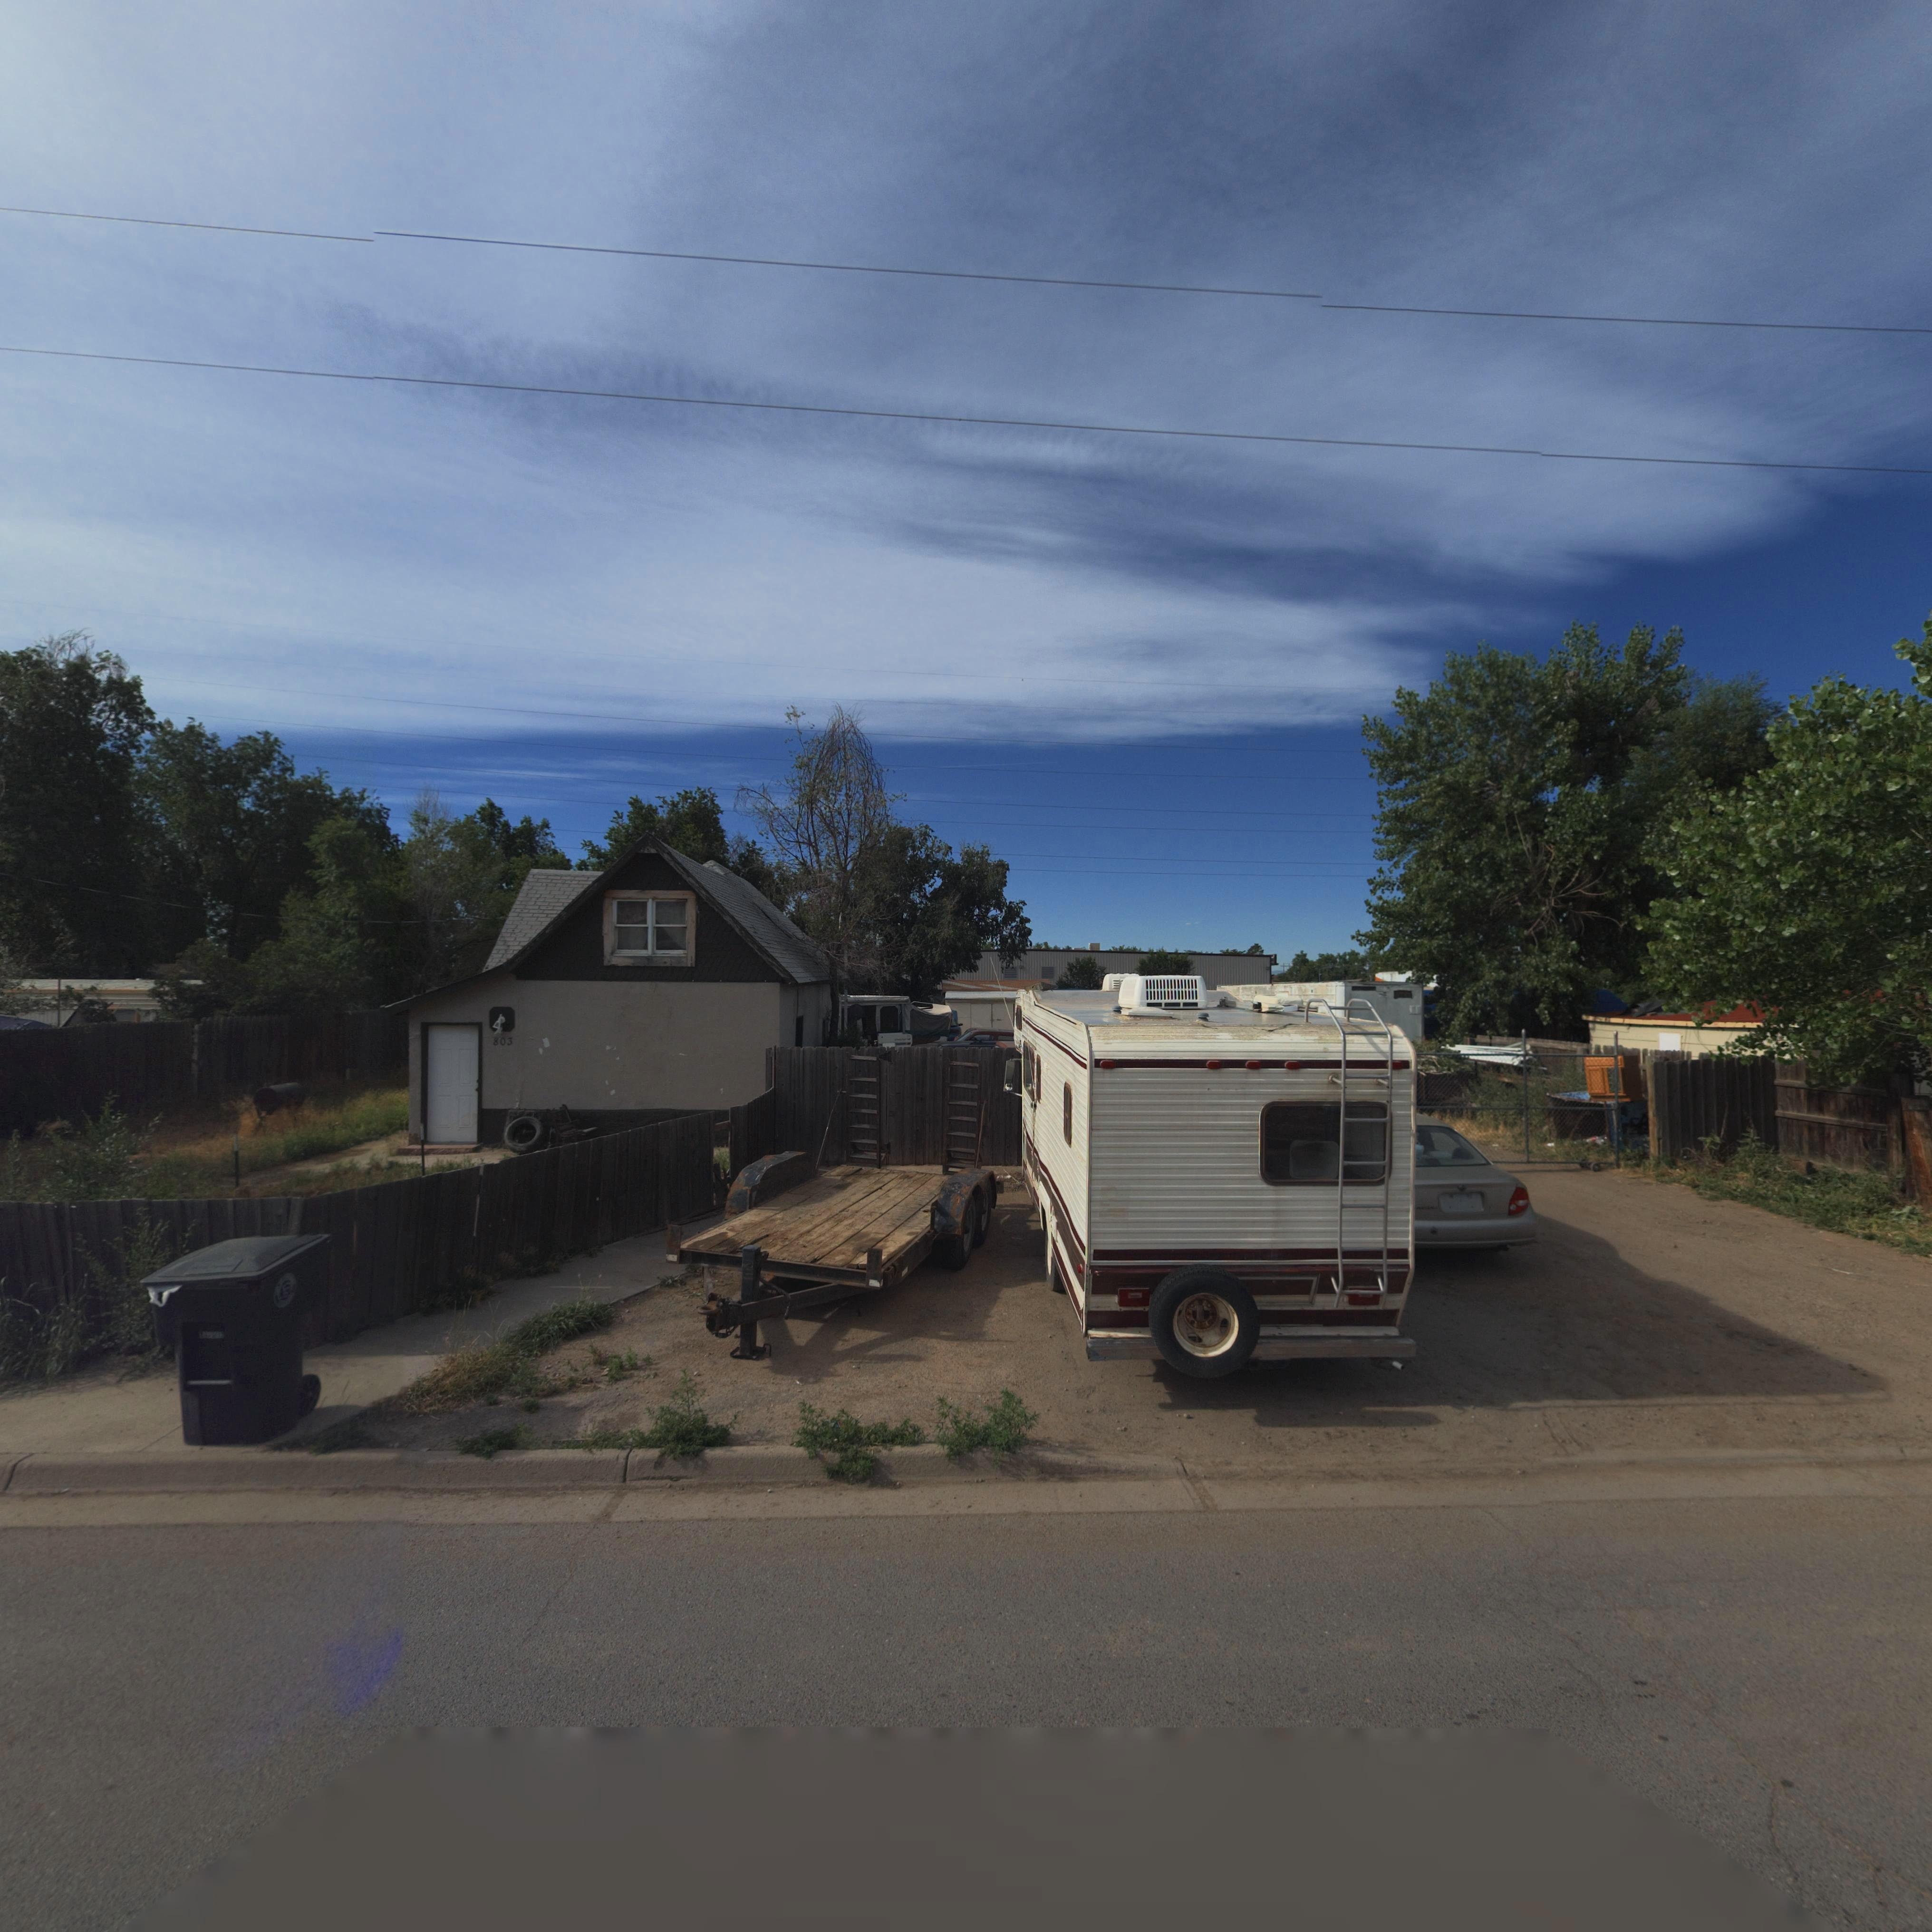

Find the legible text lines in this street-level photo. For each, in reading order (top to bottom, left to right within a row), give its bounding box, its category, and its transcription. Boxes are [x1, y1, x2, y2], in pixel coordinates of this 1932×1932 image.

[492, 1036, 514, 1046] StreetNumber: 803